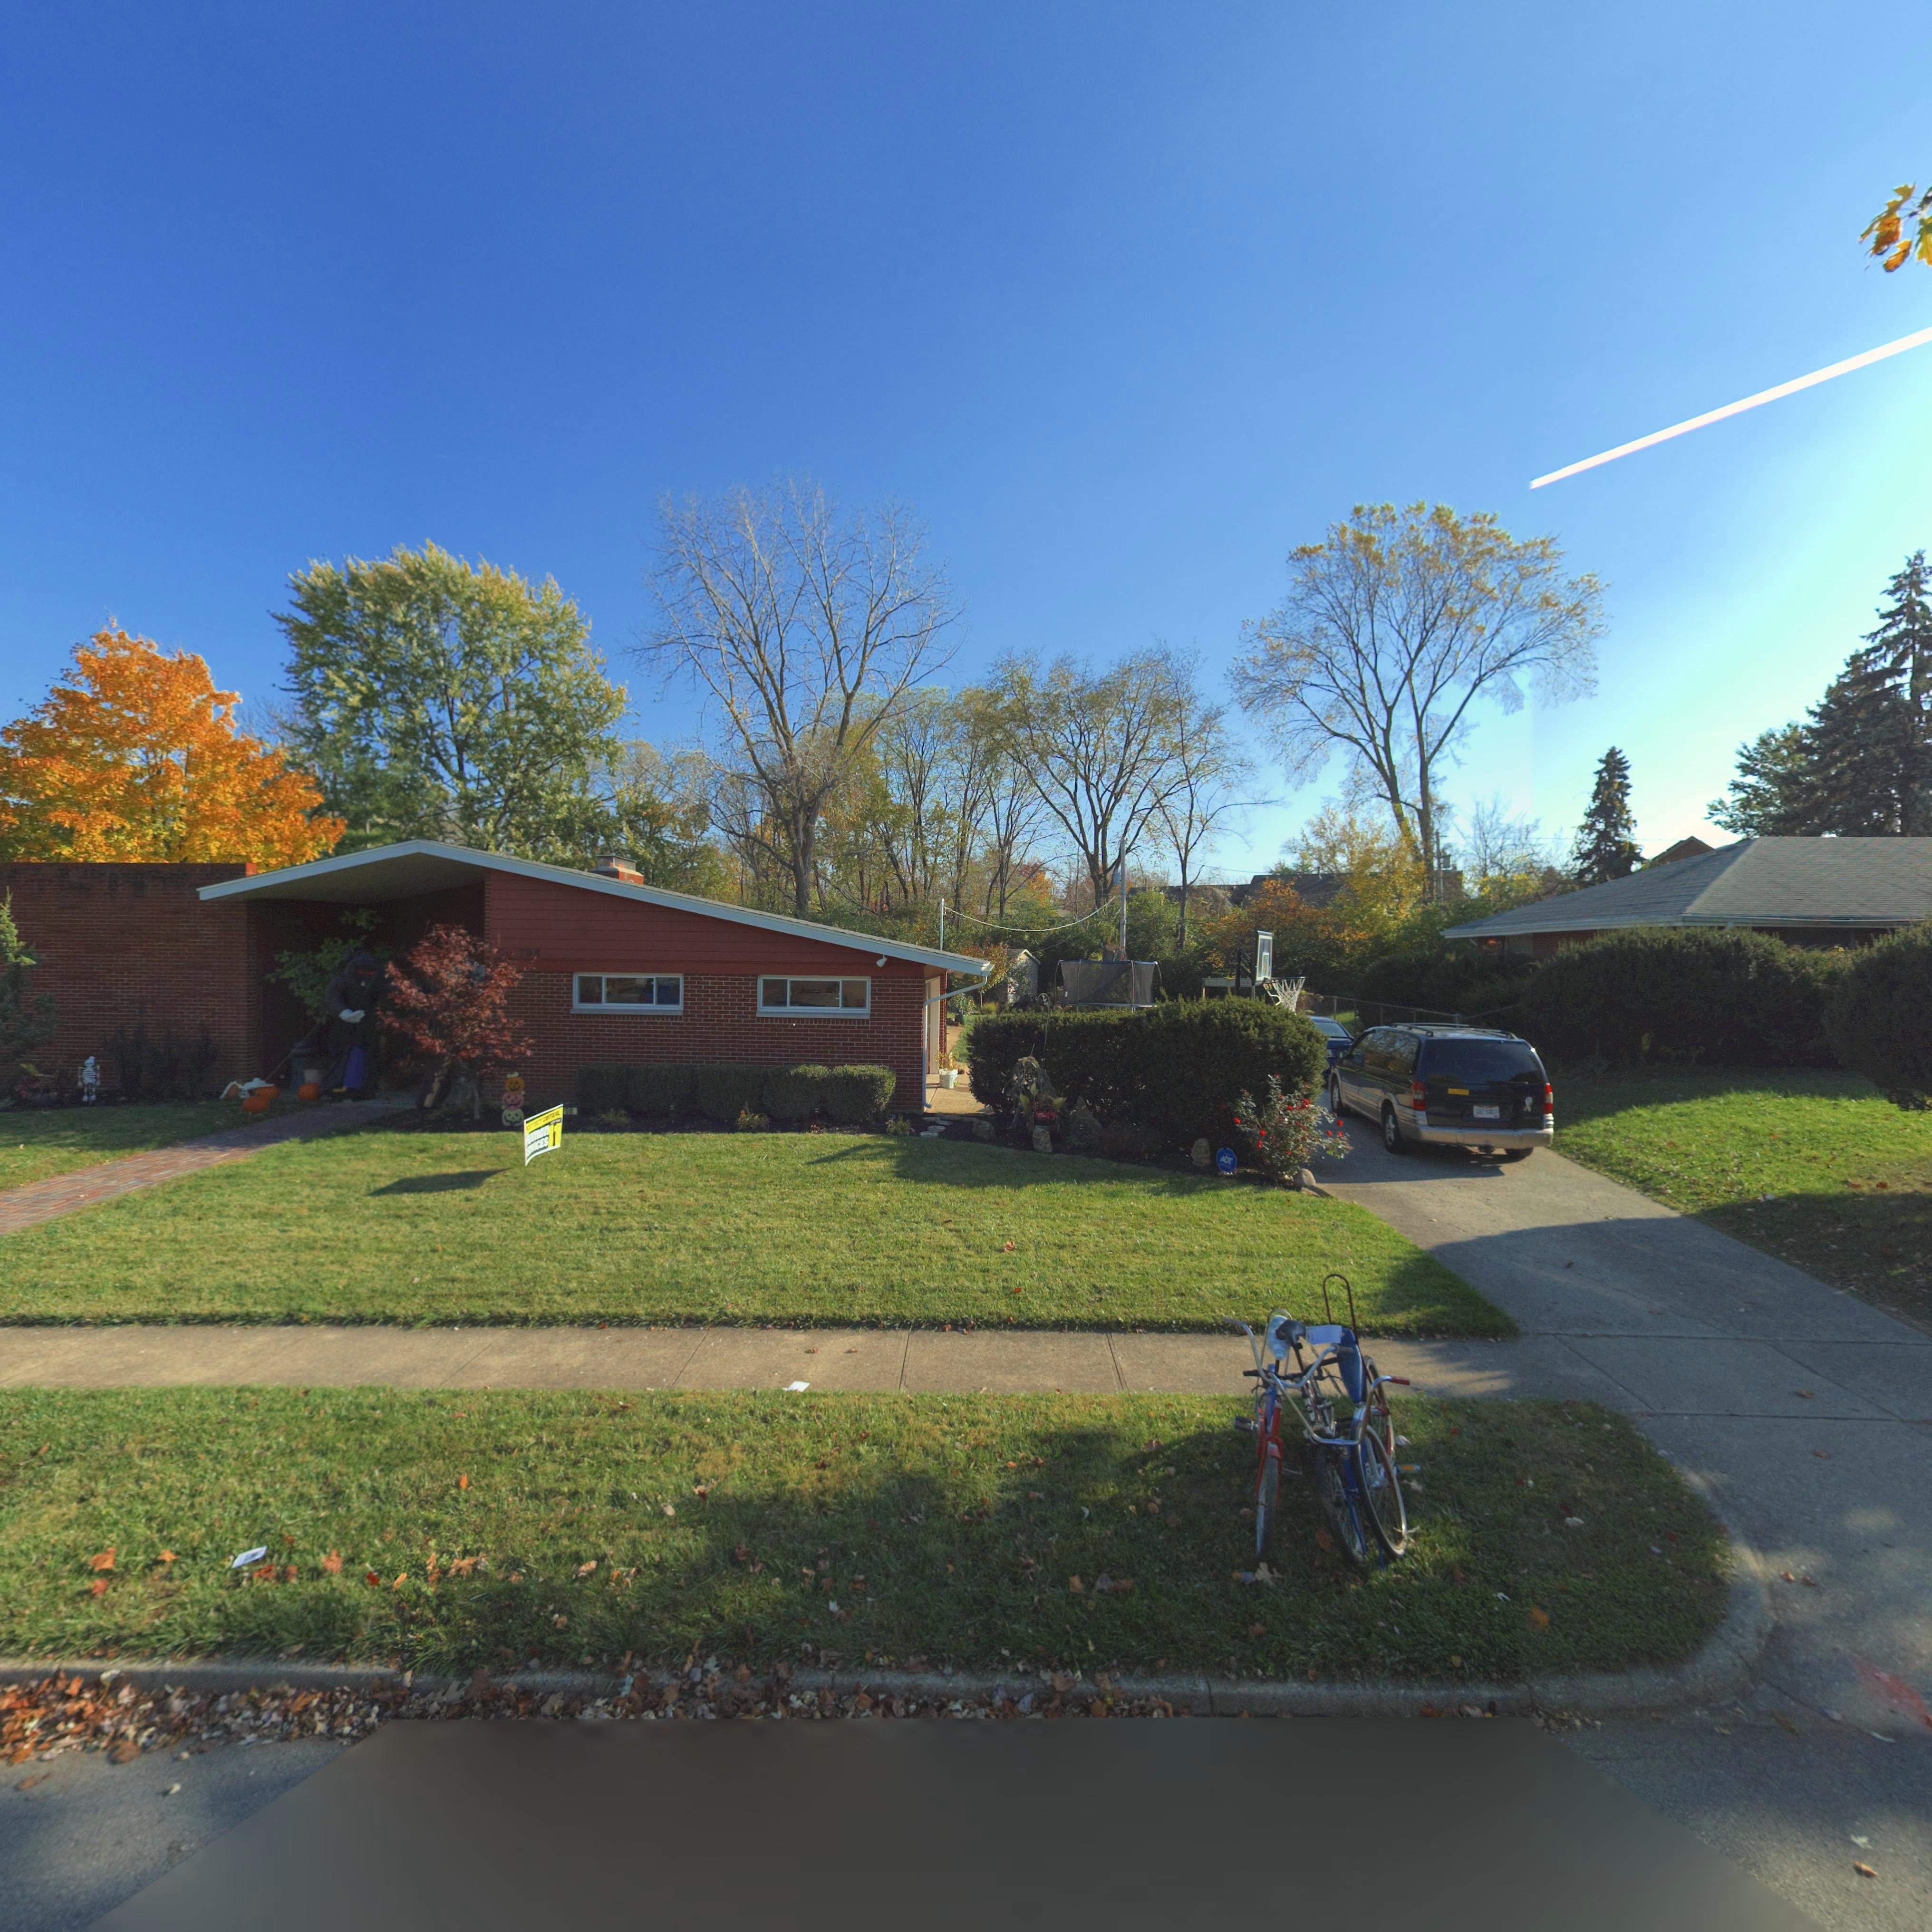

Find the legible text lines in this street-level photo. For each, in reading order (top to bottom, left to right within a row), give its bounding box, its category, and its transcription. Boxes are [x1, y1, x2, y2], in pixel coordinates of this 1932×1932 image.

[517, 947, 541, 959] StreetNumber: 708